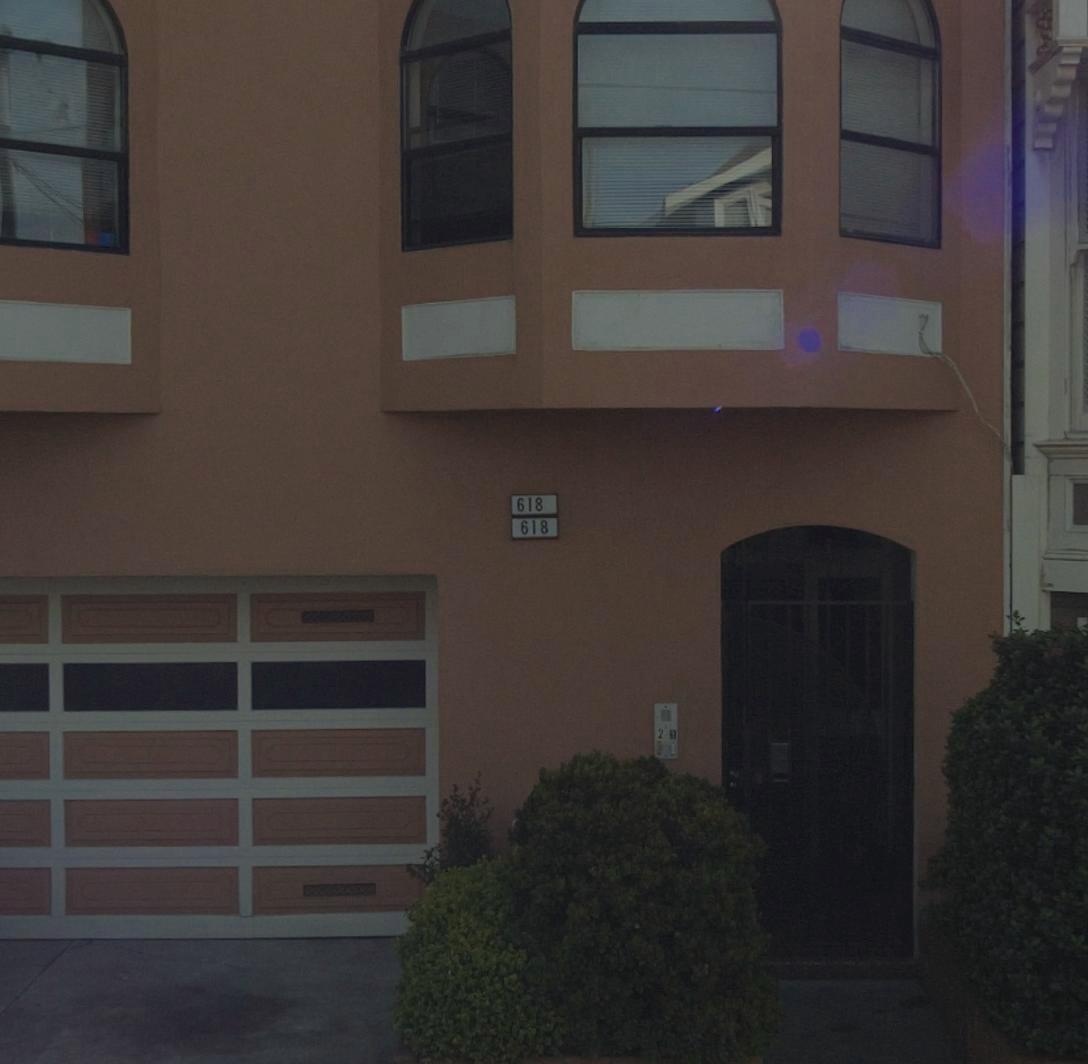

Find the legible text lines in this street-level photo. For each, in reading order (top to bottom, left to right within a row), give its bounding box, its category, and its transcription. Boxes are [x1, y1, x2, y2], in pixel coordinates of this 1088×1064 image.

[515, 495, 545, 514] StreetNumber: 618
[519, 518, 550, 536] StreetNumber: 618